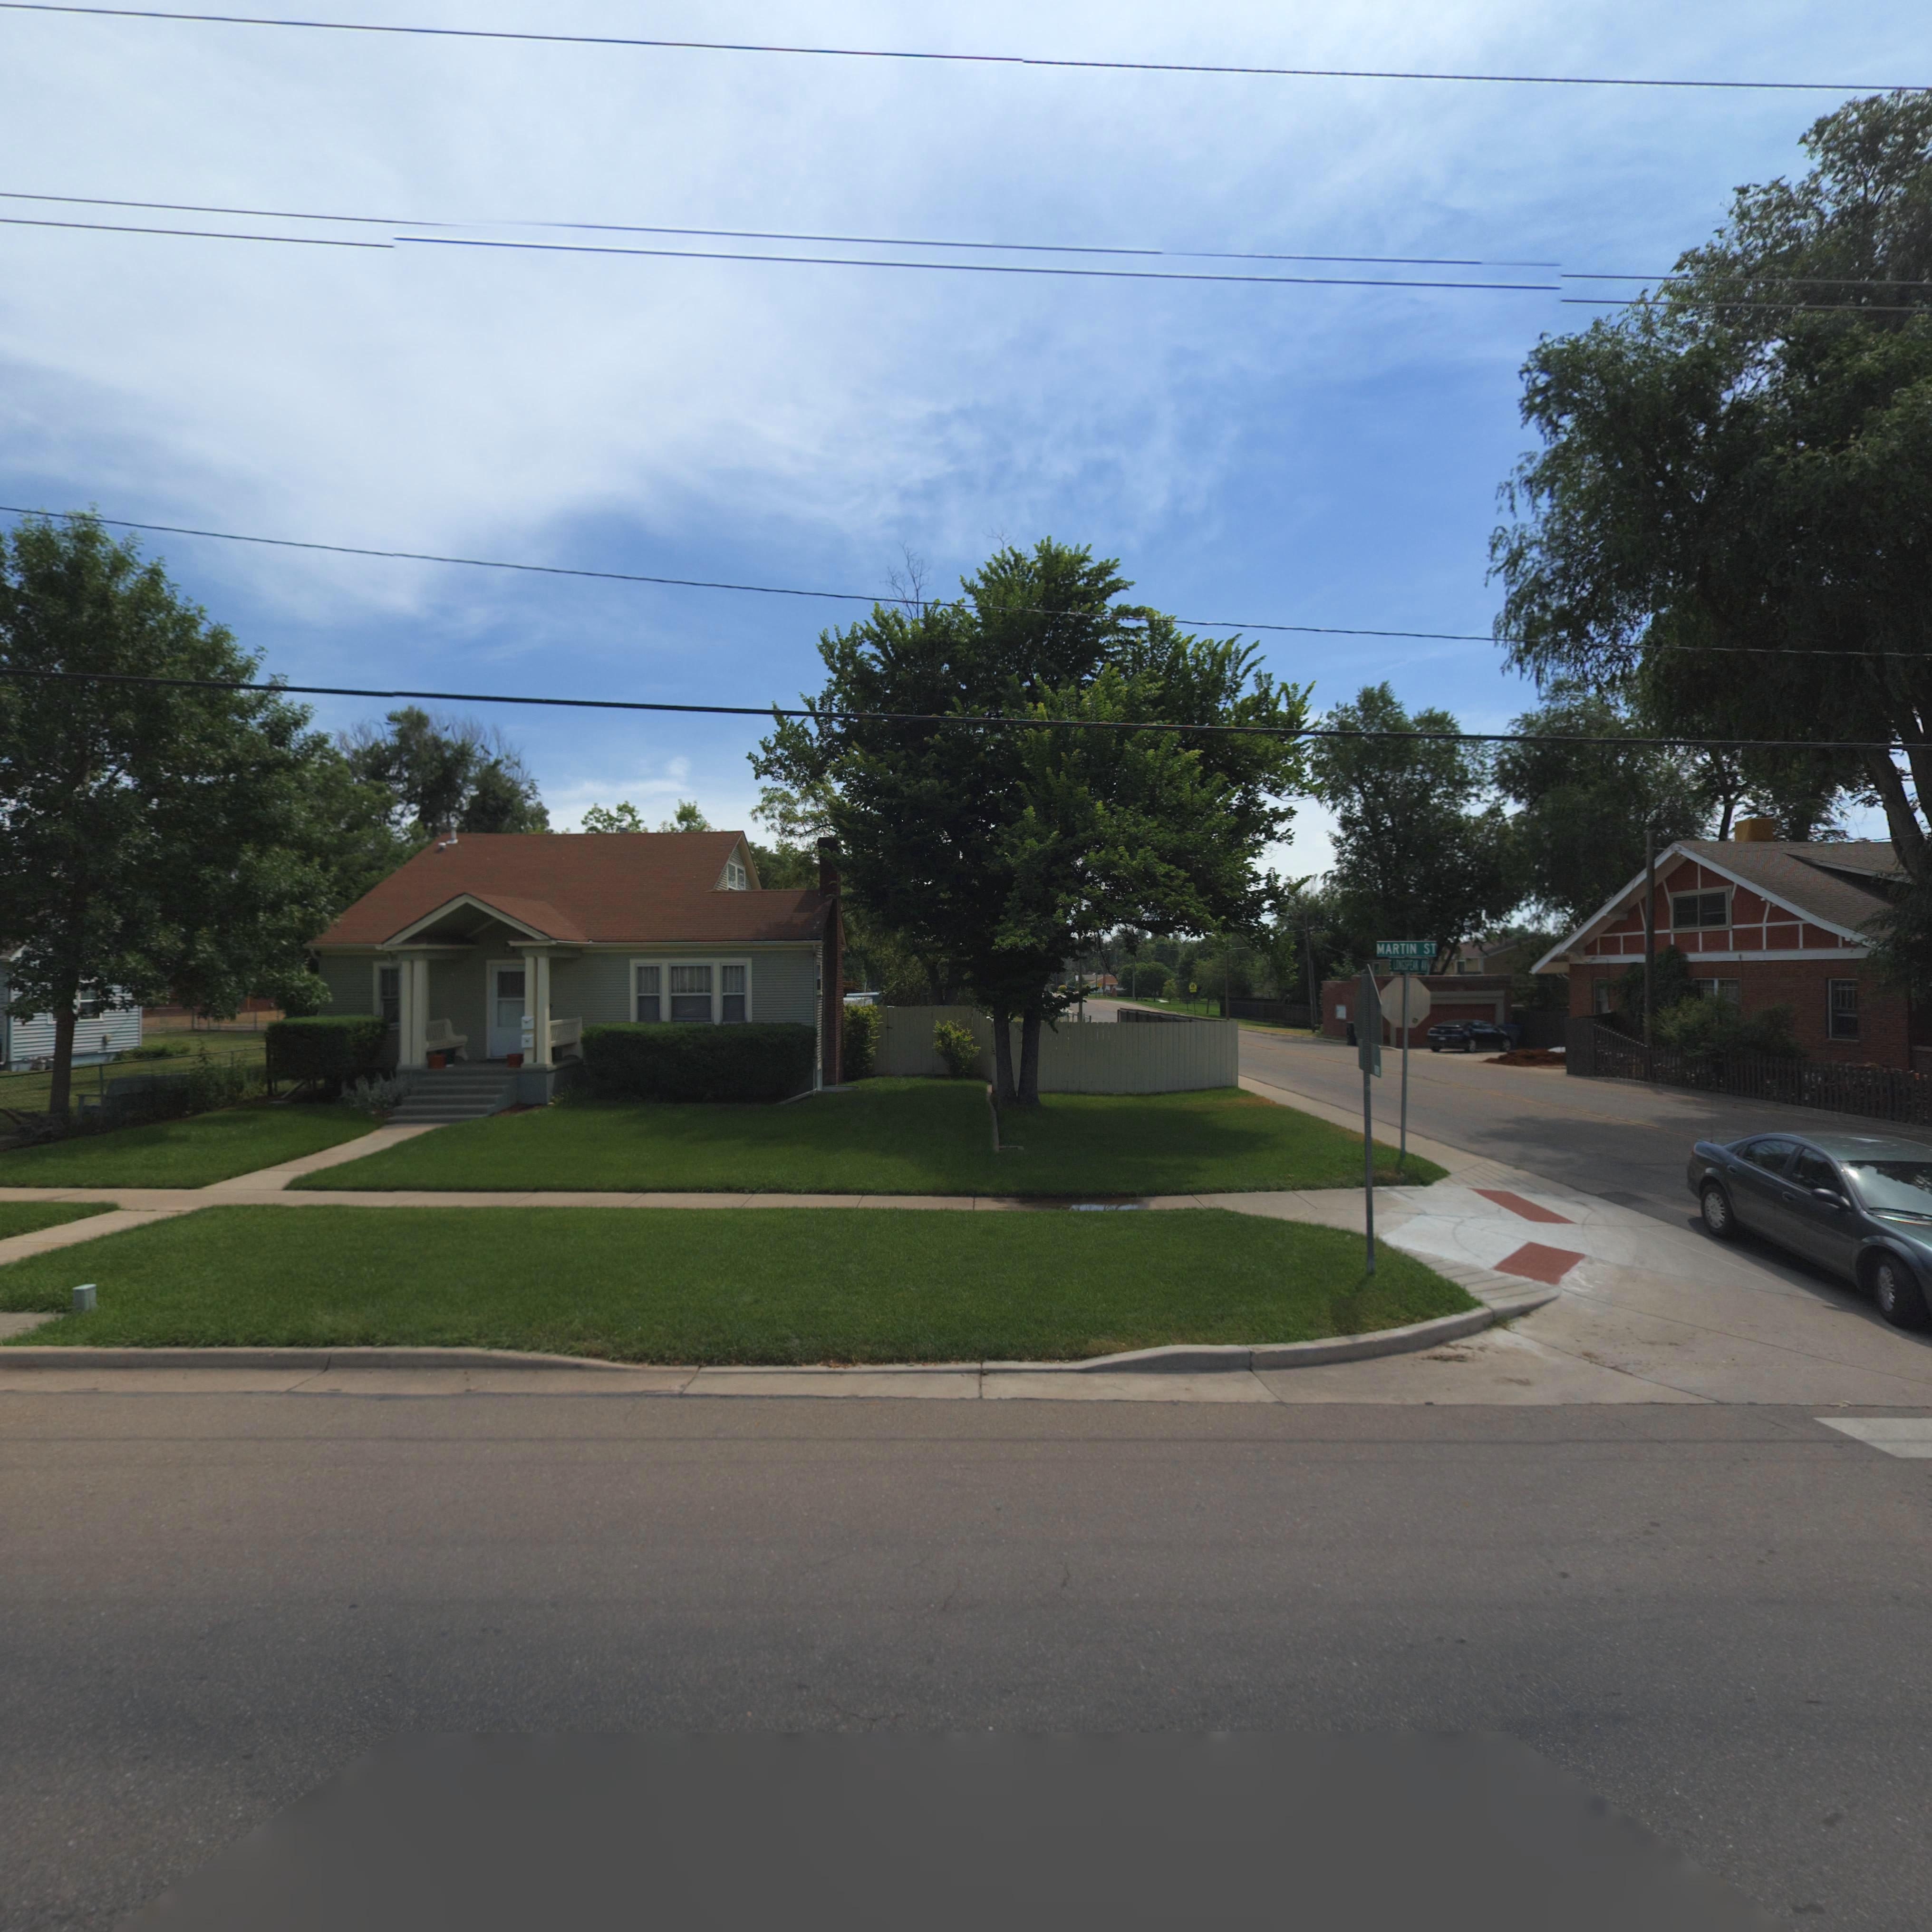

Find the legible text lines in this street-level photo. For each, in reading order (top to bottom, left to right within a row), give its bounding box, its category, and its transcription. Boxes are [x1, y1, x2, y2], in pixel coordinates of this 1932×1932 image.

[1376, 942, 1437, 955] StreetName: MARTIN ST
[1388, 958, 1428, 971] StreetName: E LONGS PEAK AV